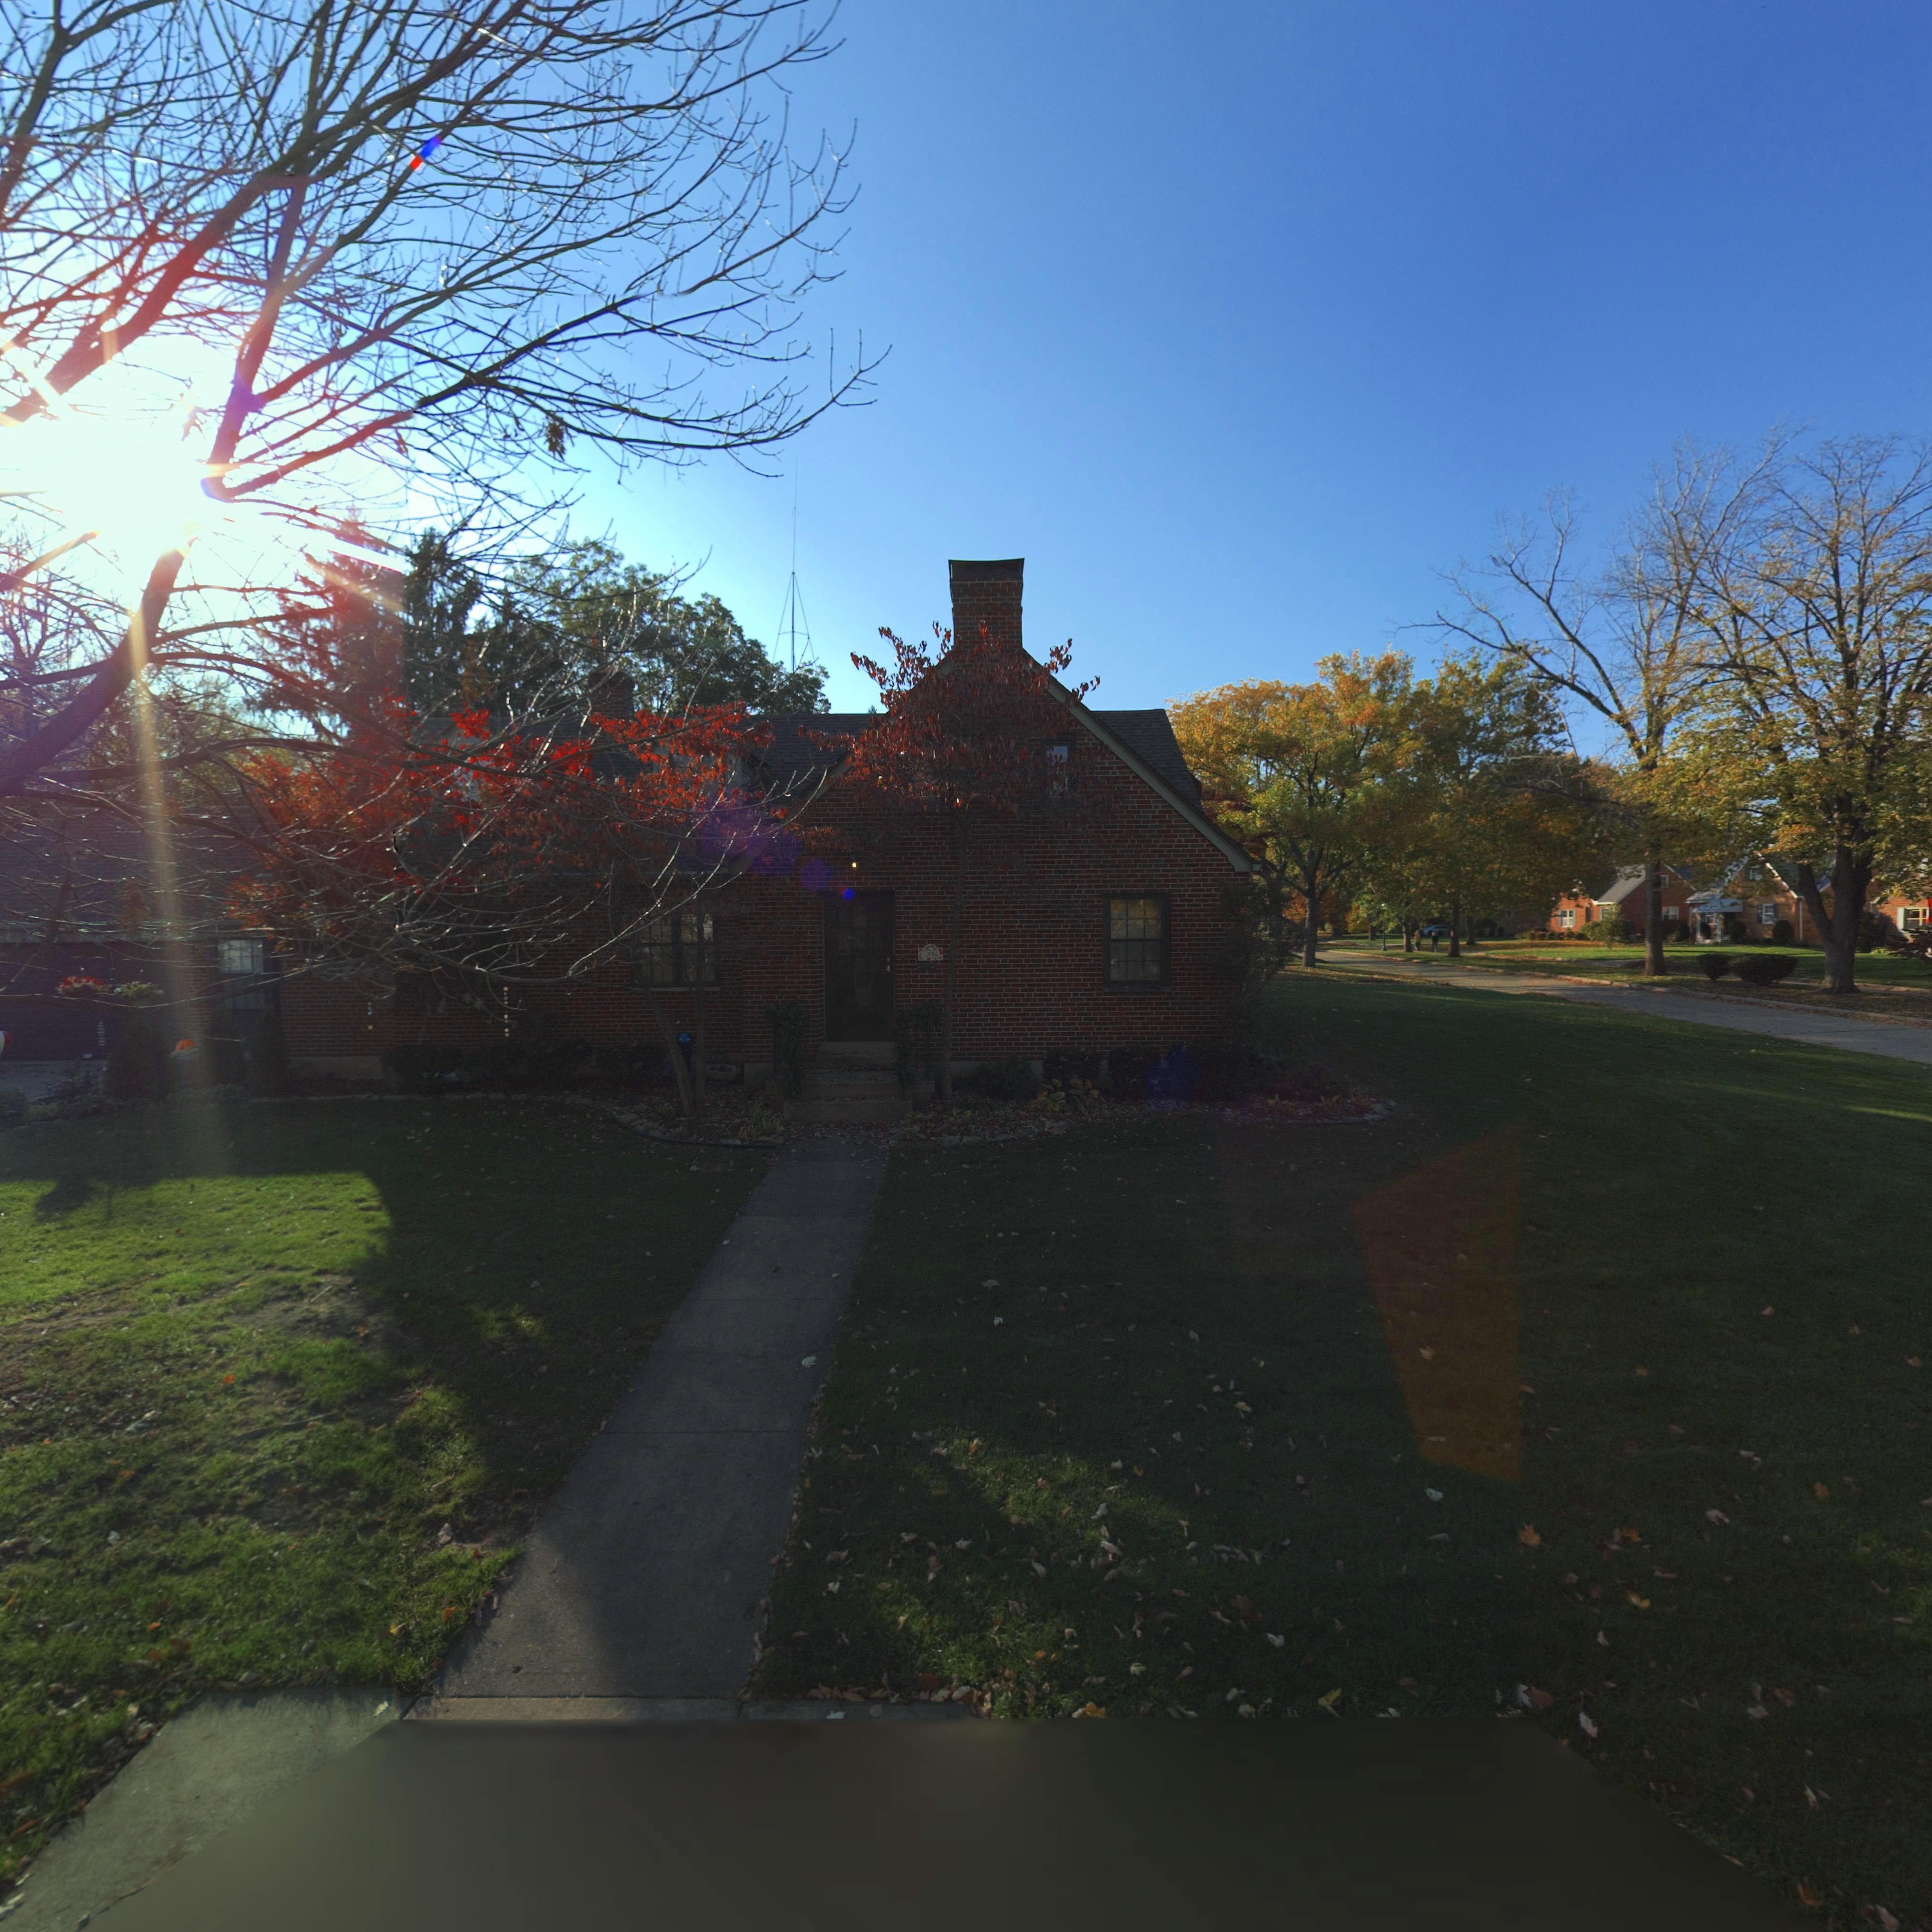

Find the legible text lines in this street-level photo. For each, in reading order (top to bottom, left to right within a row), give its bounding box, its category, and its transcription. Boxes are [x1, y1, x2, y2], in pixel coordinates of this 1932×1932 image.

[926, 951, 938, 956] StreetNumber: 356